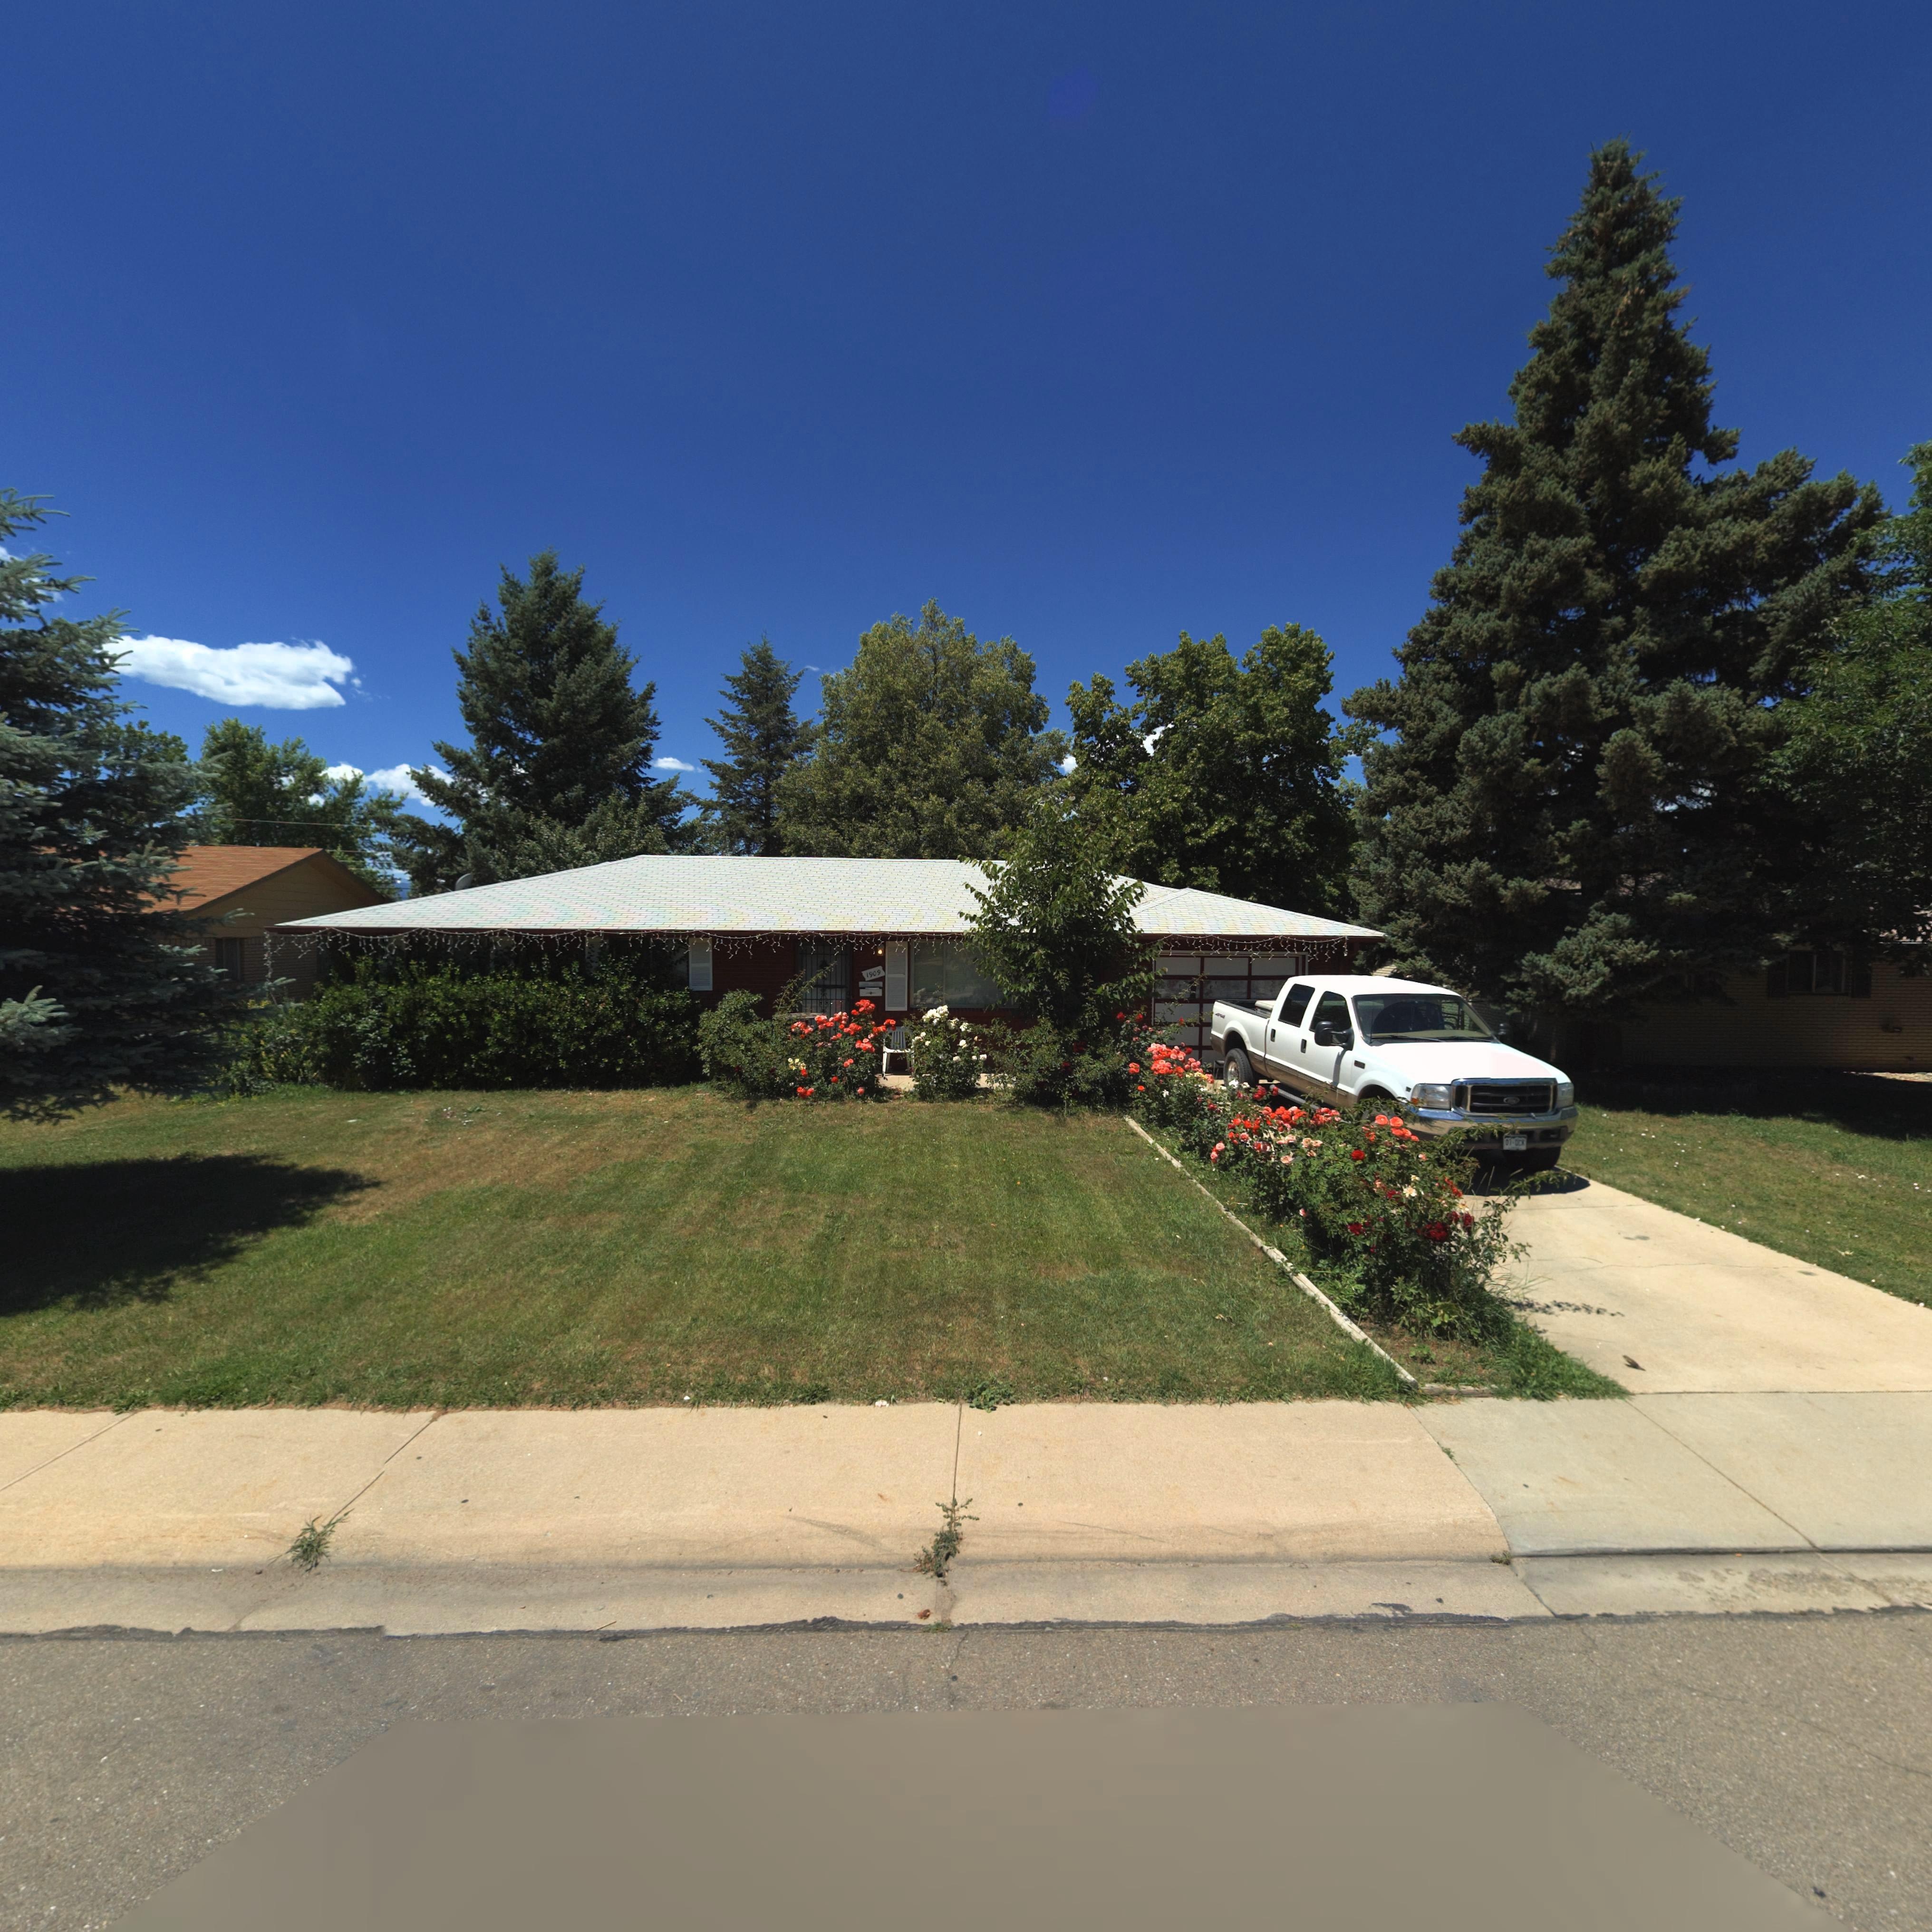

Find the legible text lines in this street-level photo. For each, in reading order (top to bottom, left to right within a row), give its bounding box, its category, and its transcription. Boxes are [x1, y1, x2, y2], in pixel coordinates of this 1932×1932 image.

[866, 969, 880, 978] StreetNumber: 1909